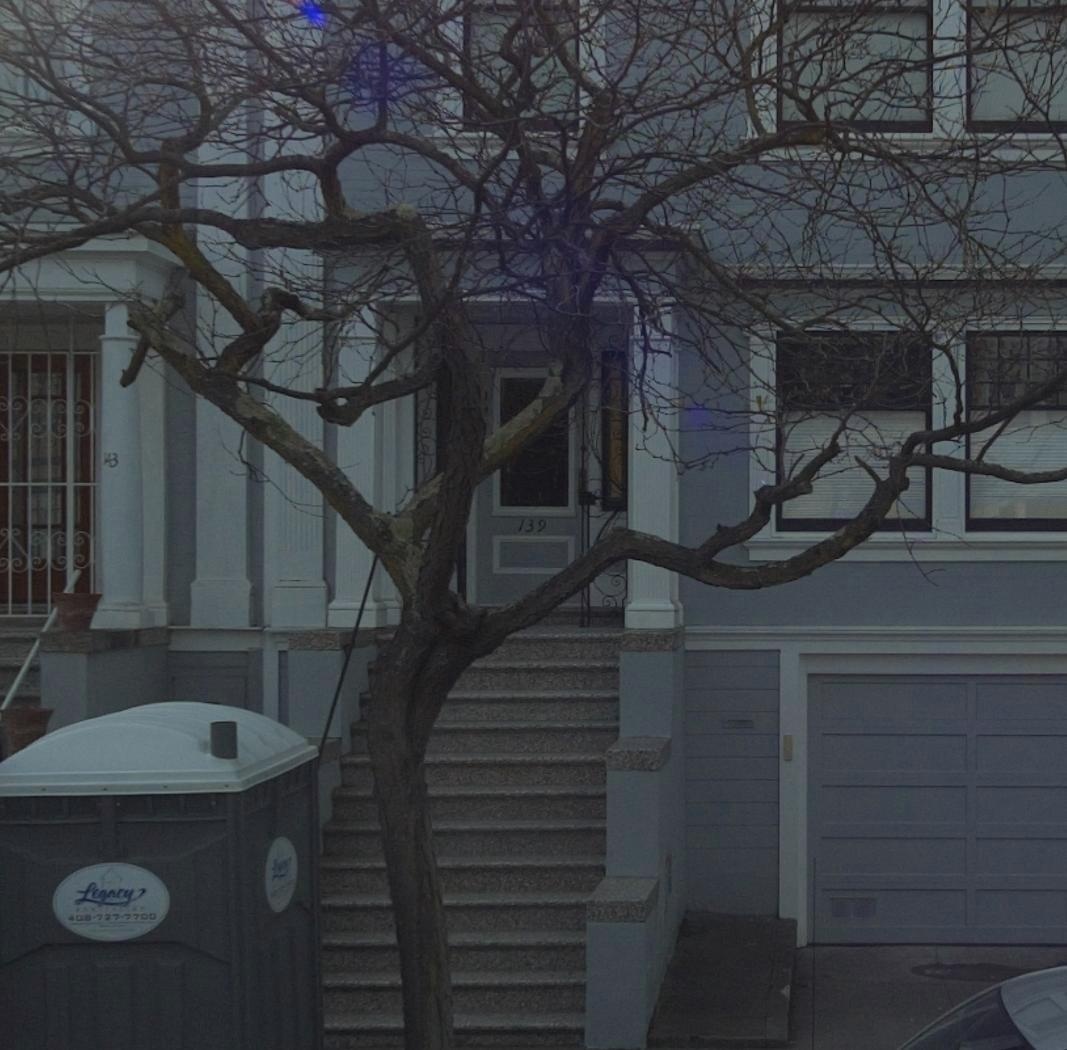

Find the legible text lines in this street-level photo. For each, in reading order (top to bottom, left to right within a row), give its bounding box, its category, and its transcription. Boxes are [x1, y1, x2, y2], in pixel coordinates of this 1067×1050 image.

[102, 451, 119, 469] StreetNumber: 143
[515, 518, 549, 533] StreetNumber: 139
[72, 881, 135, 908] None: Legacy
[67, 913, 157, 922] None: 40*-727-7700